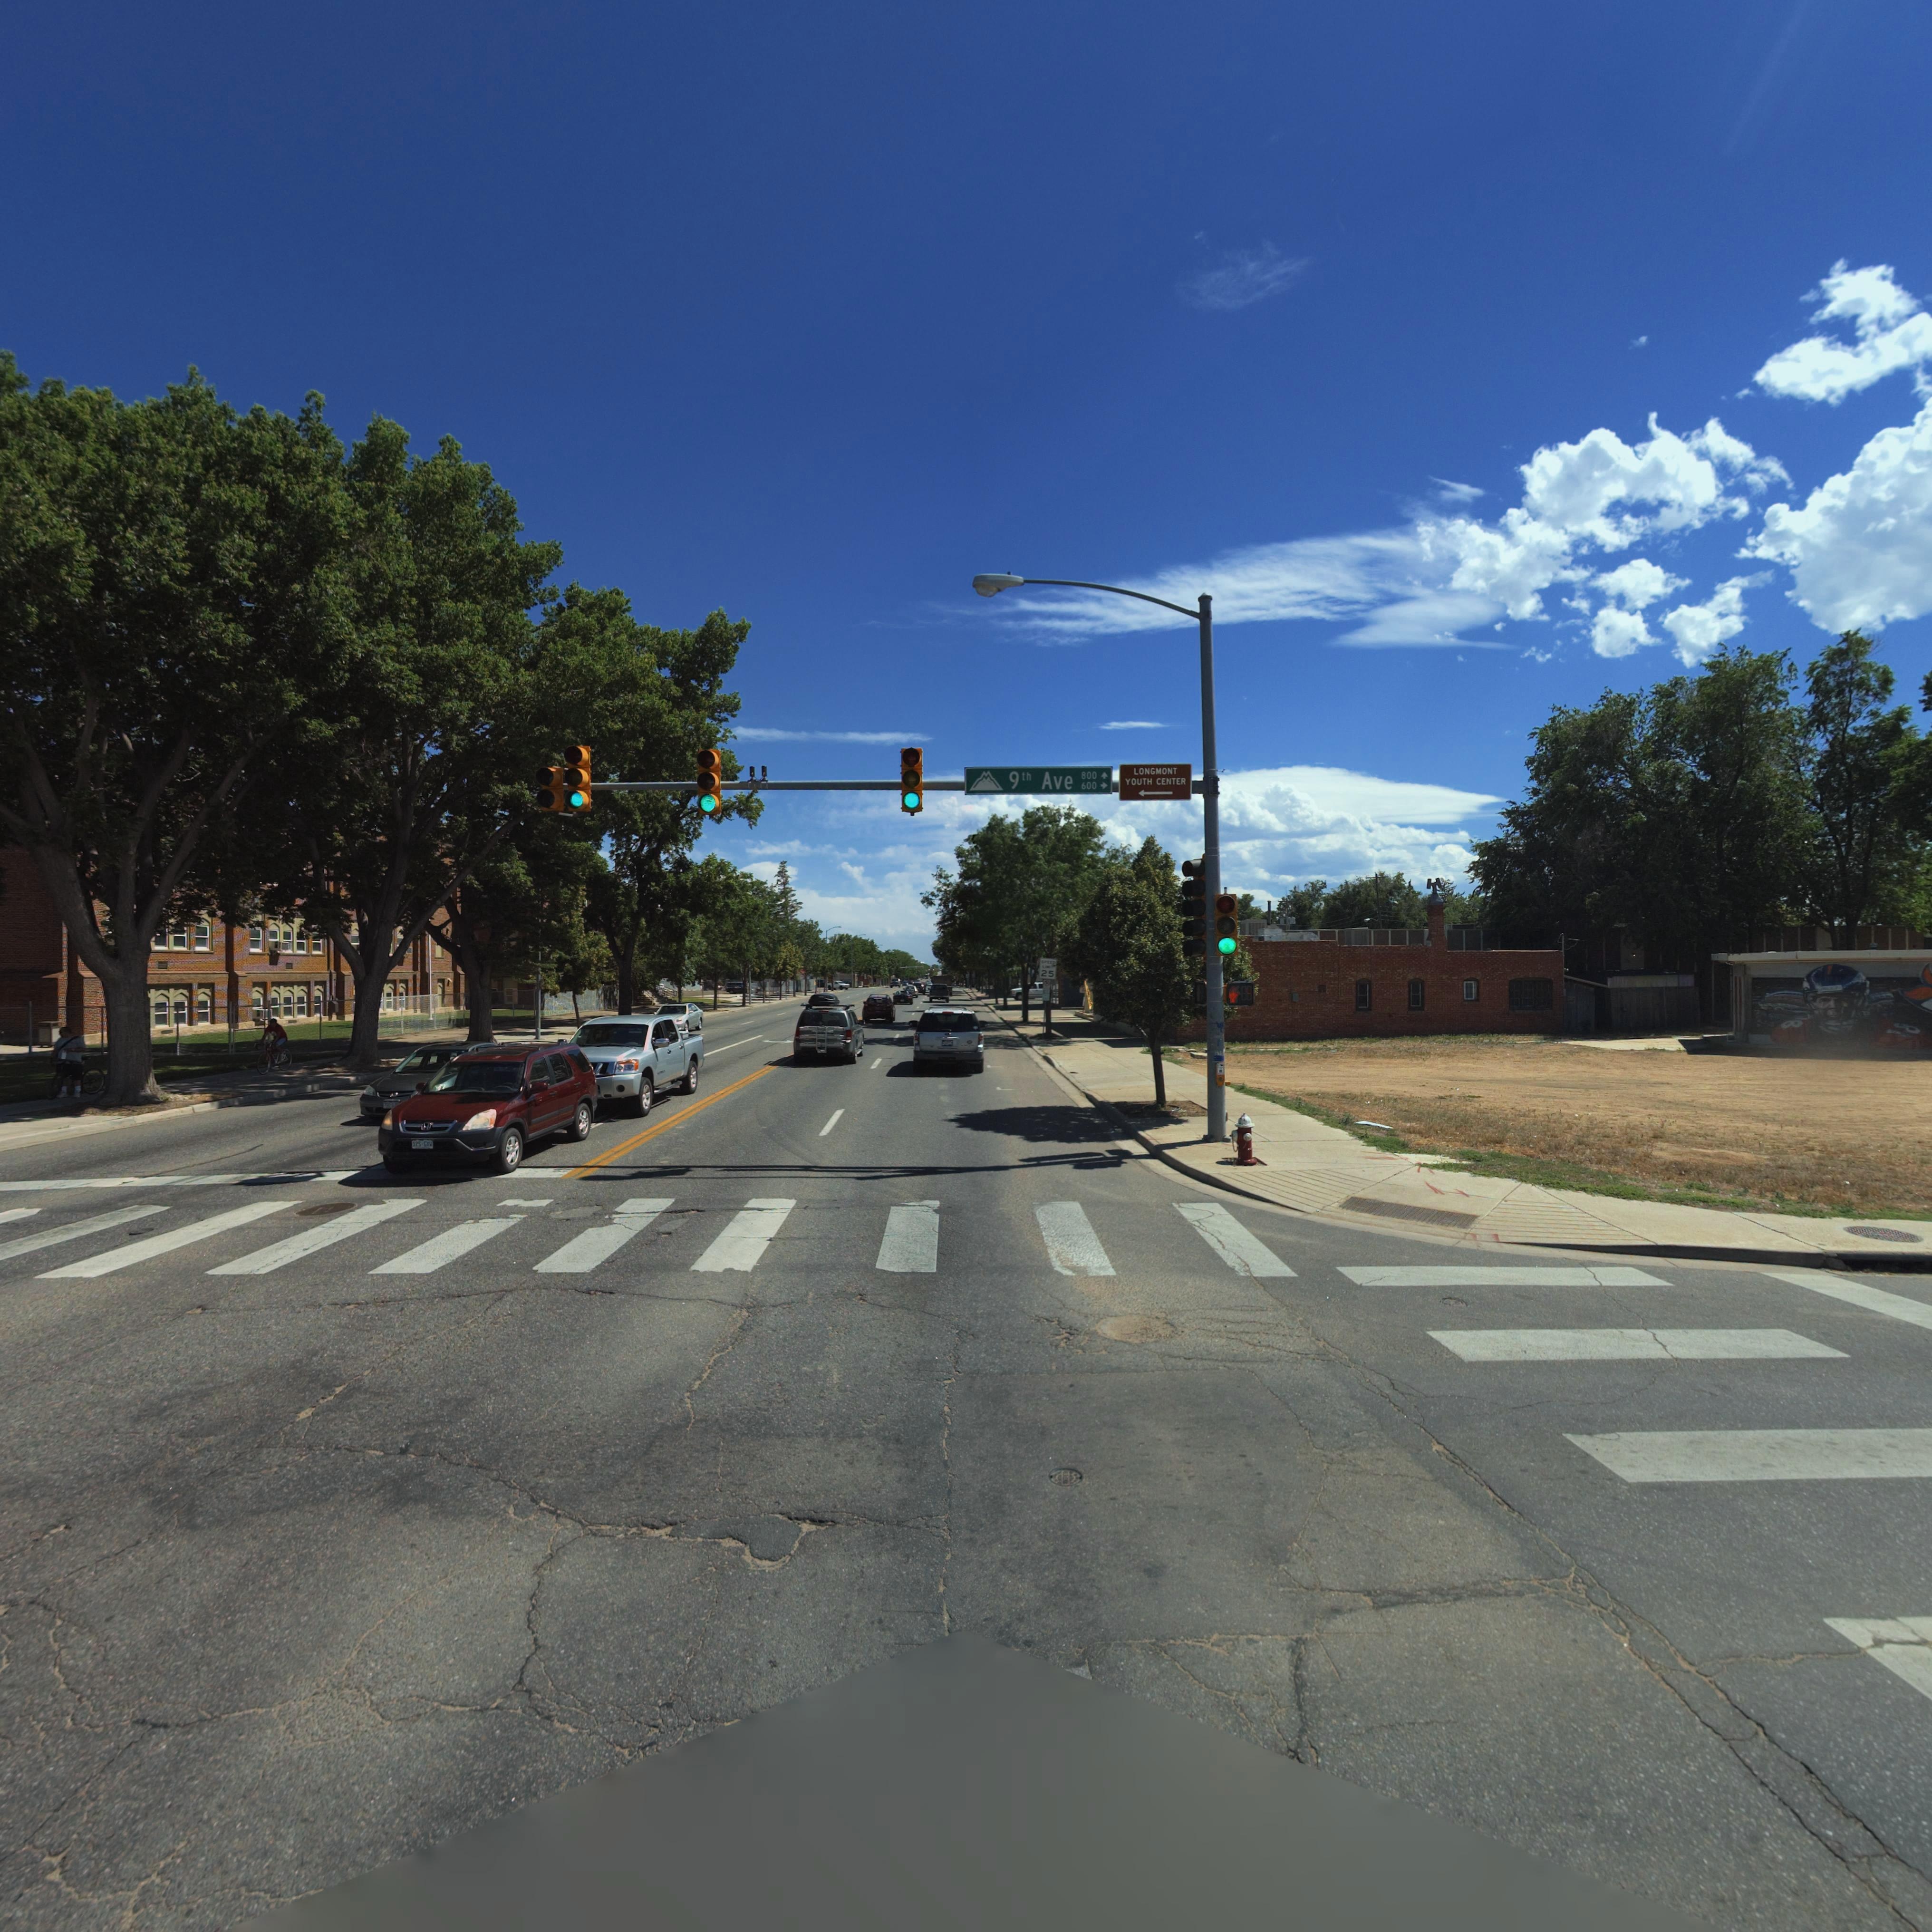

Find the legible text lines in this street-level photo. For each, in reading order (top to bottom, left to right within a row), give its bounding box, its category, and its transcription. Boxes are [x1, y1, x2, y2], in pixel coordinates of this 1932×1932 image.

[1081, 771, 1097, 780] StreetNumberRange: 800
[1008, 770, 1073, 791] StreetName: 9th Ave
[1081, 781, 1109, 790] StreetNumberRange: 600->